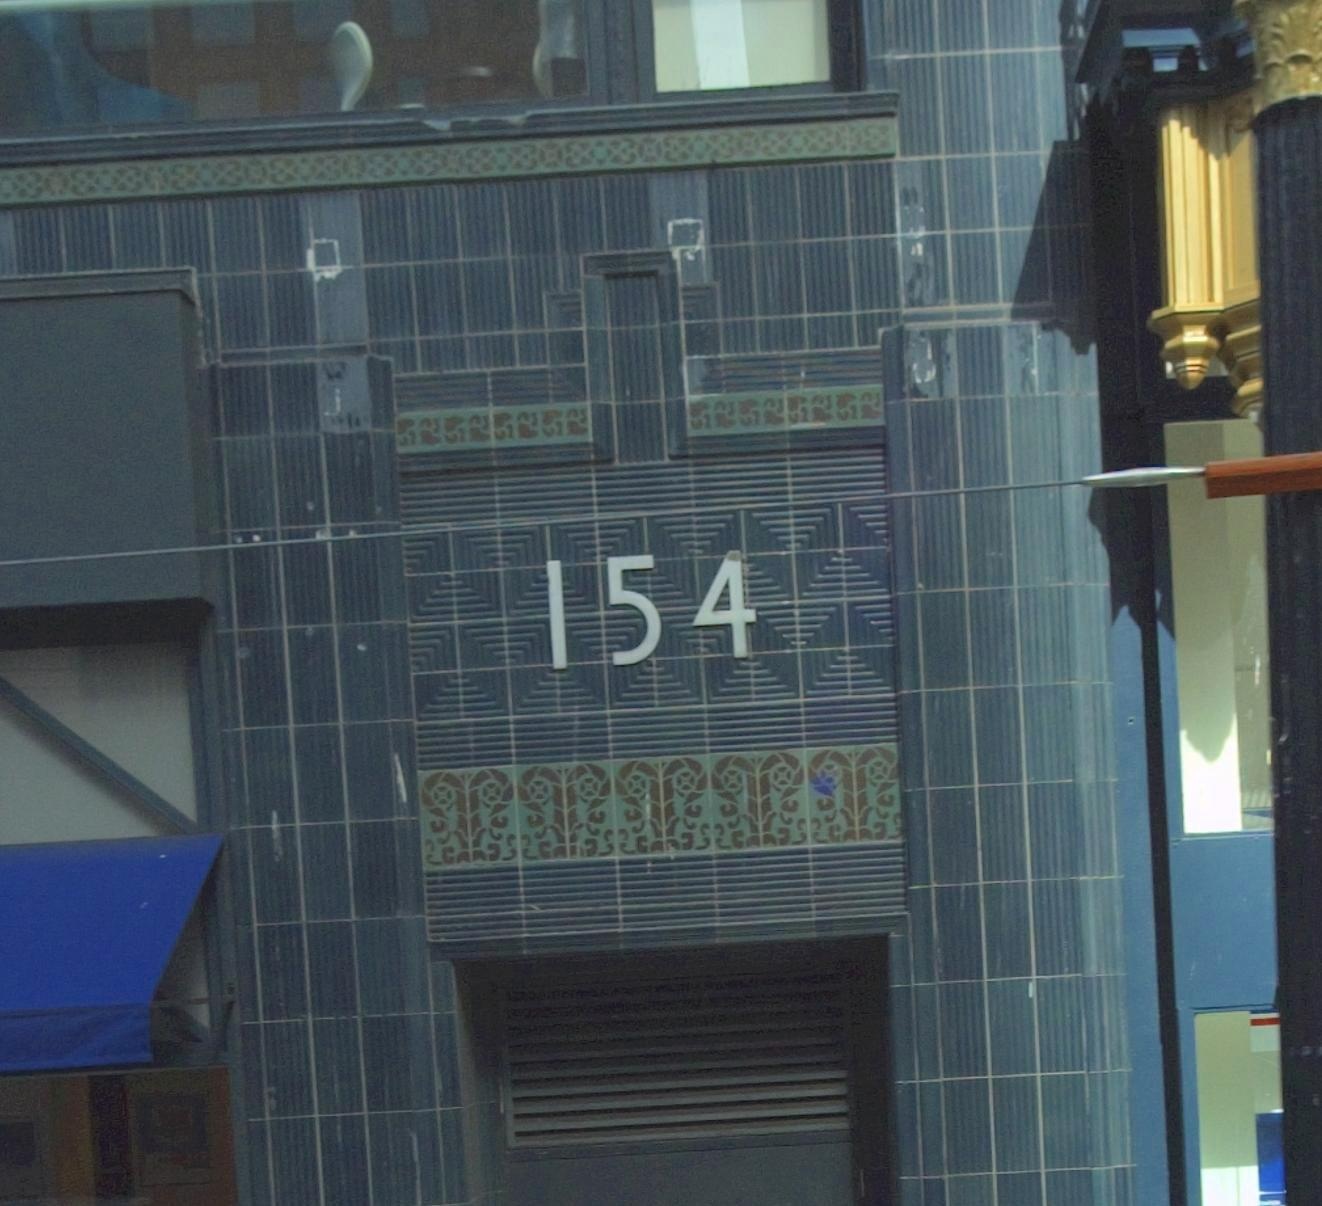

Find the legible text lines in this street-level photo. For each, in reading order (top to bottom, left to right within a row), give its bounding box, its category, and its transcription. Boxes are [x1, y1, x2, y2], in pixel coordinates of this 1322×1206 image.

[536, 542, 765, 677] StreetNumber: 154